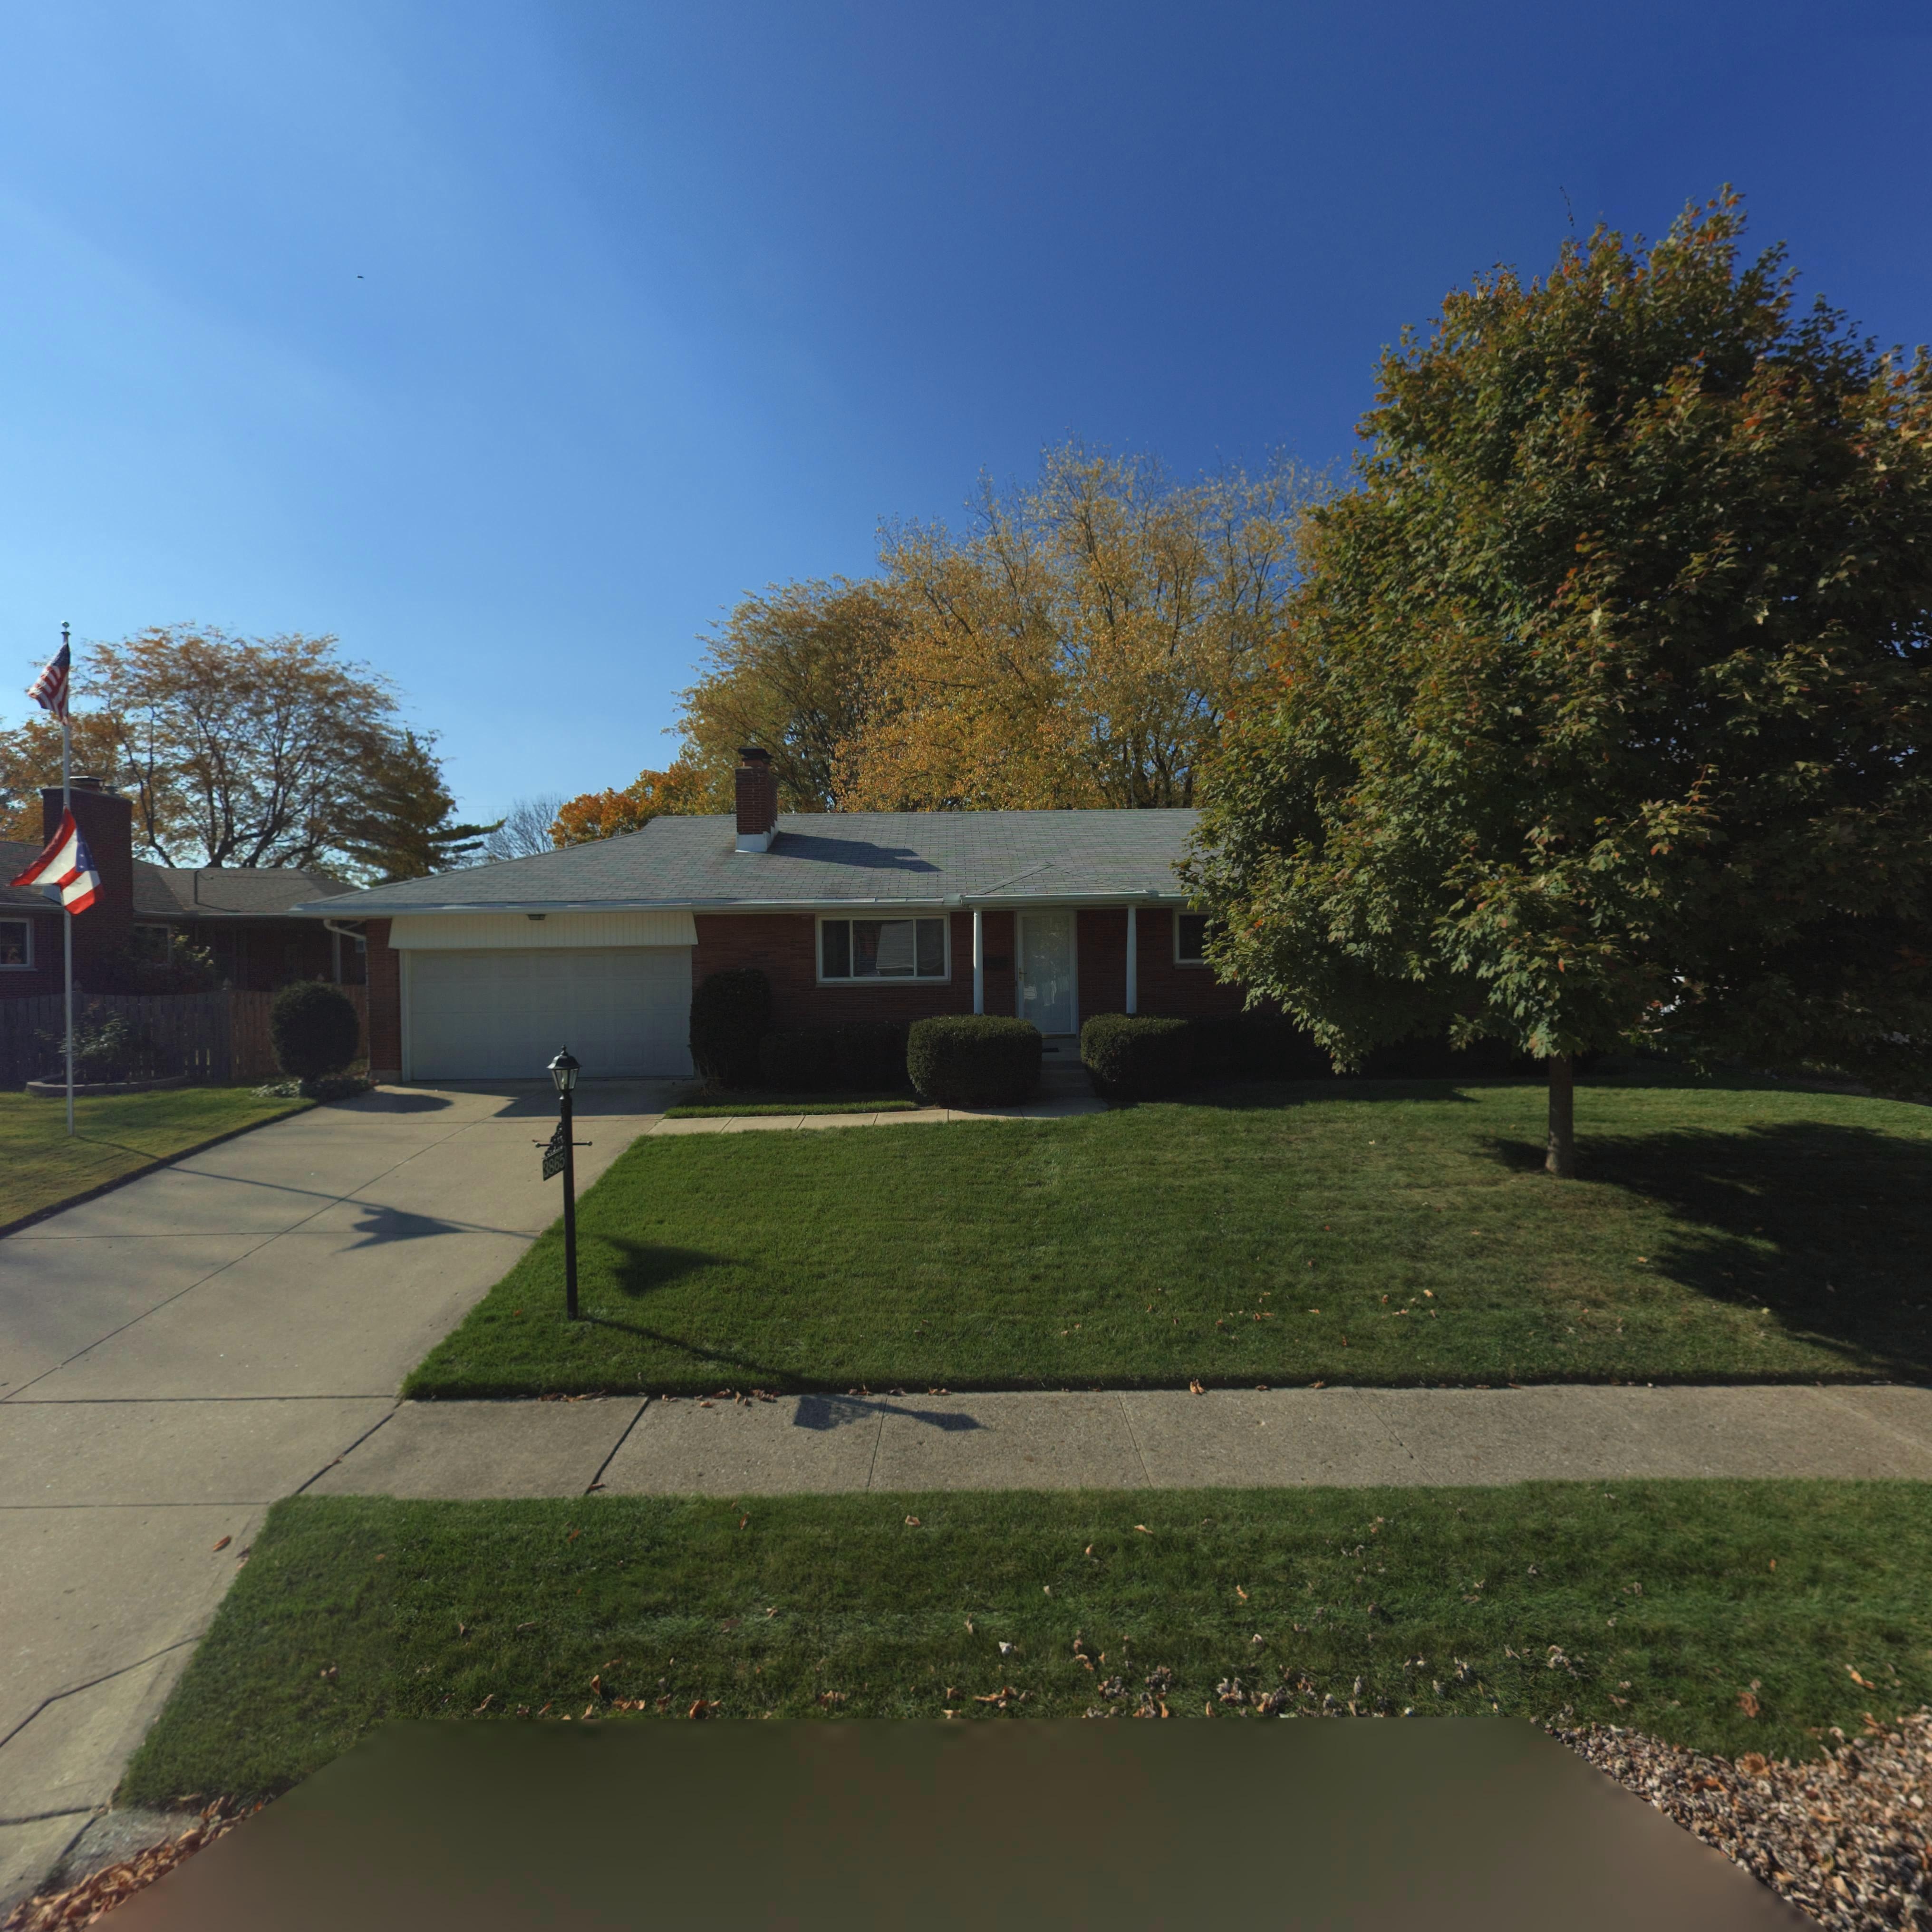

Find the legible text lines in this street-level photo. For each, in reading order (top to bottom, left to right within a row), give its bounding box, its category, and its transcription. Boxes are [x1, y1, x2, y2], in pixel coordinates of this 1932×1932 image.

[543, 1150, 565, 1180] StreetNumber: 3865